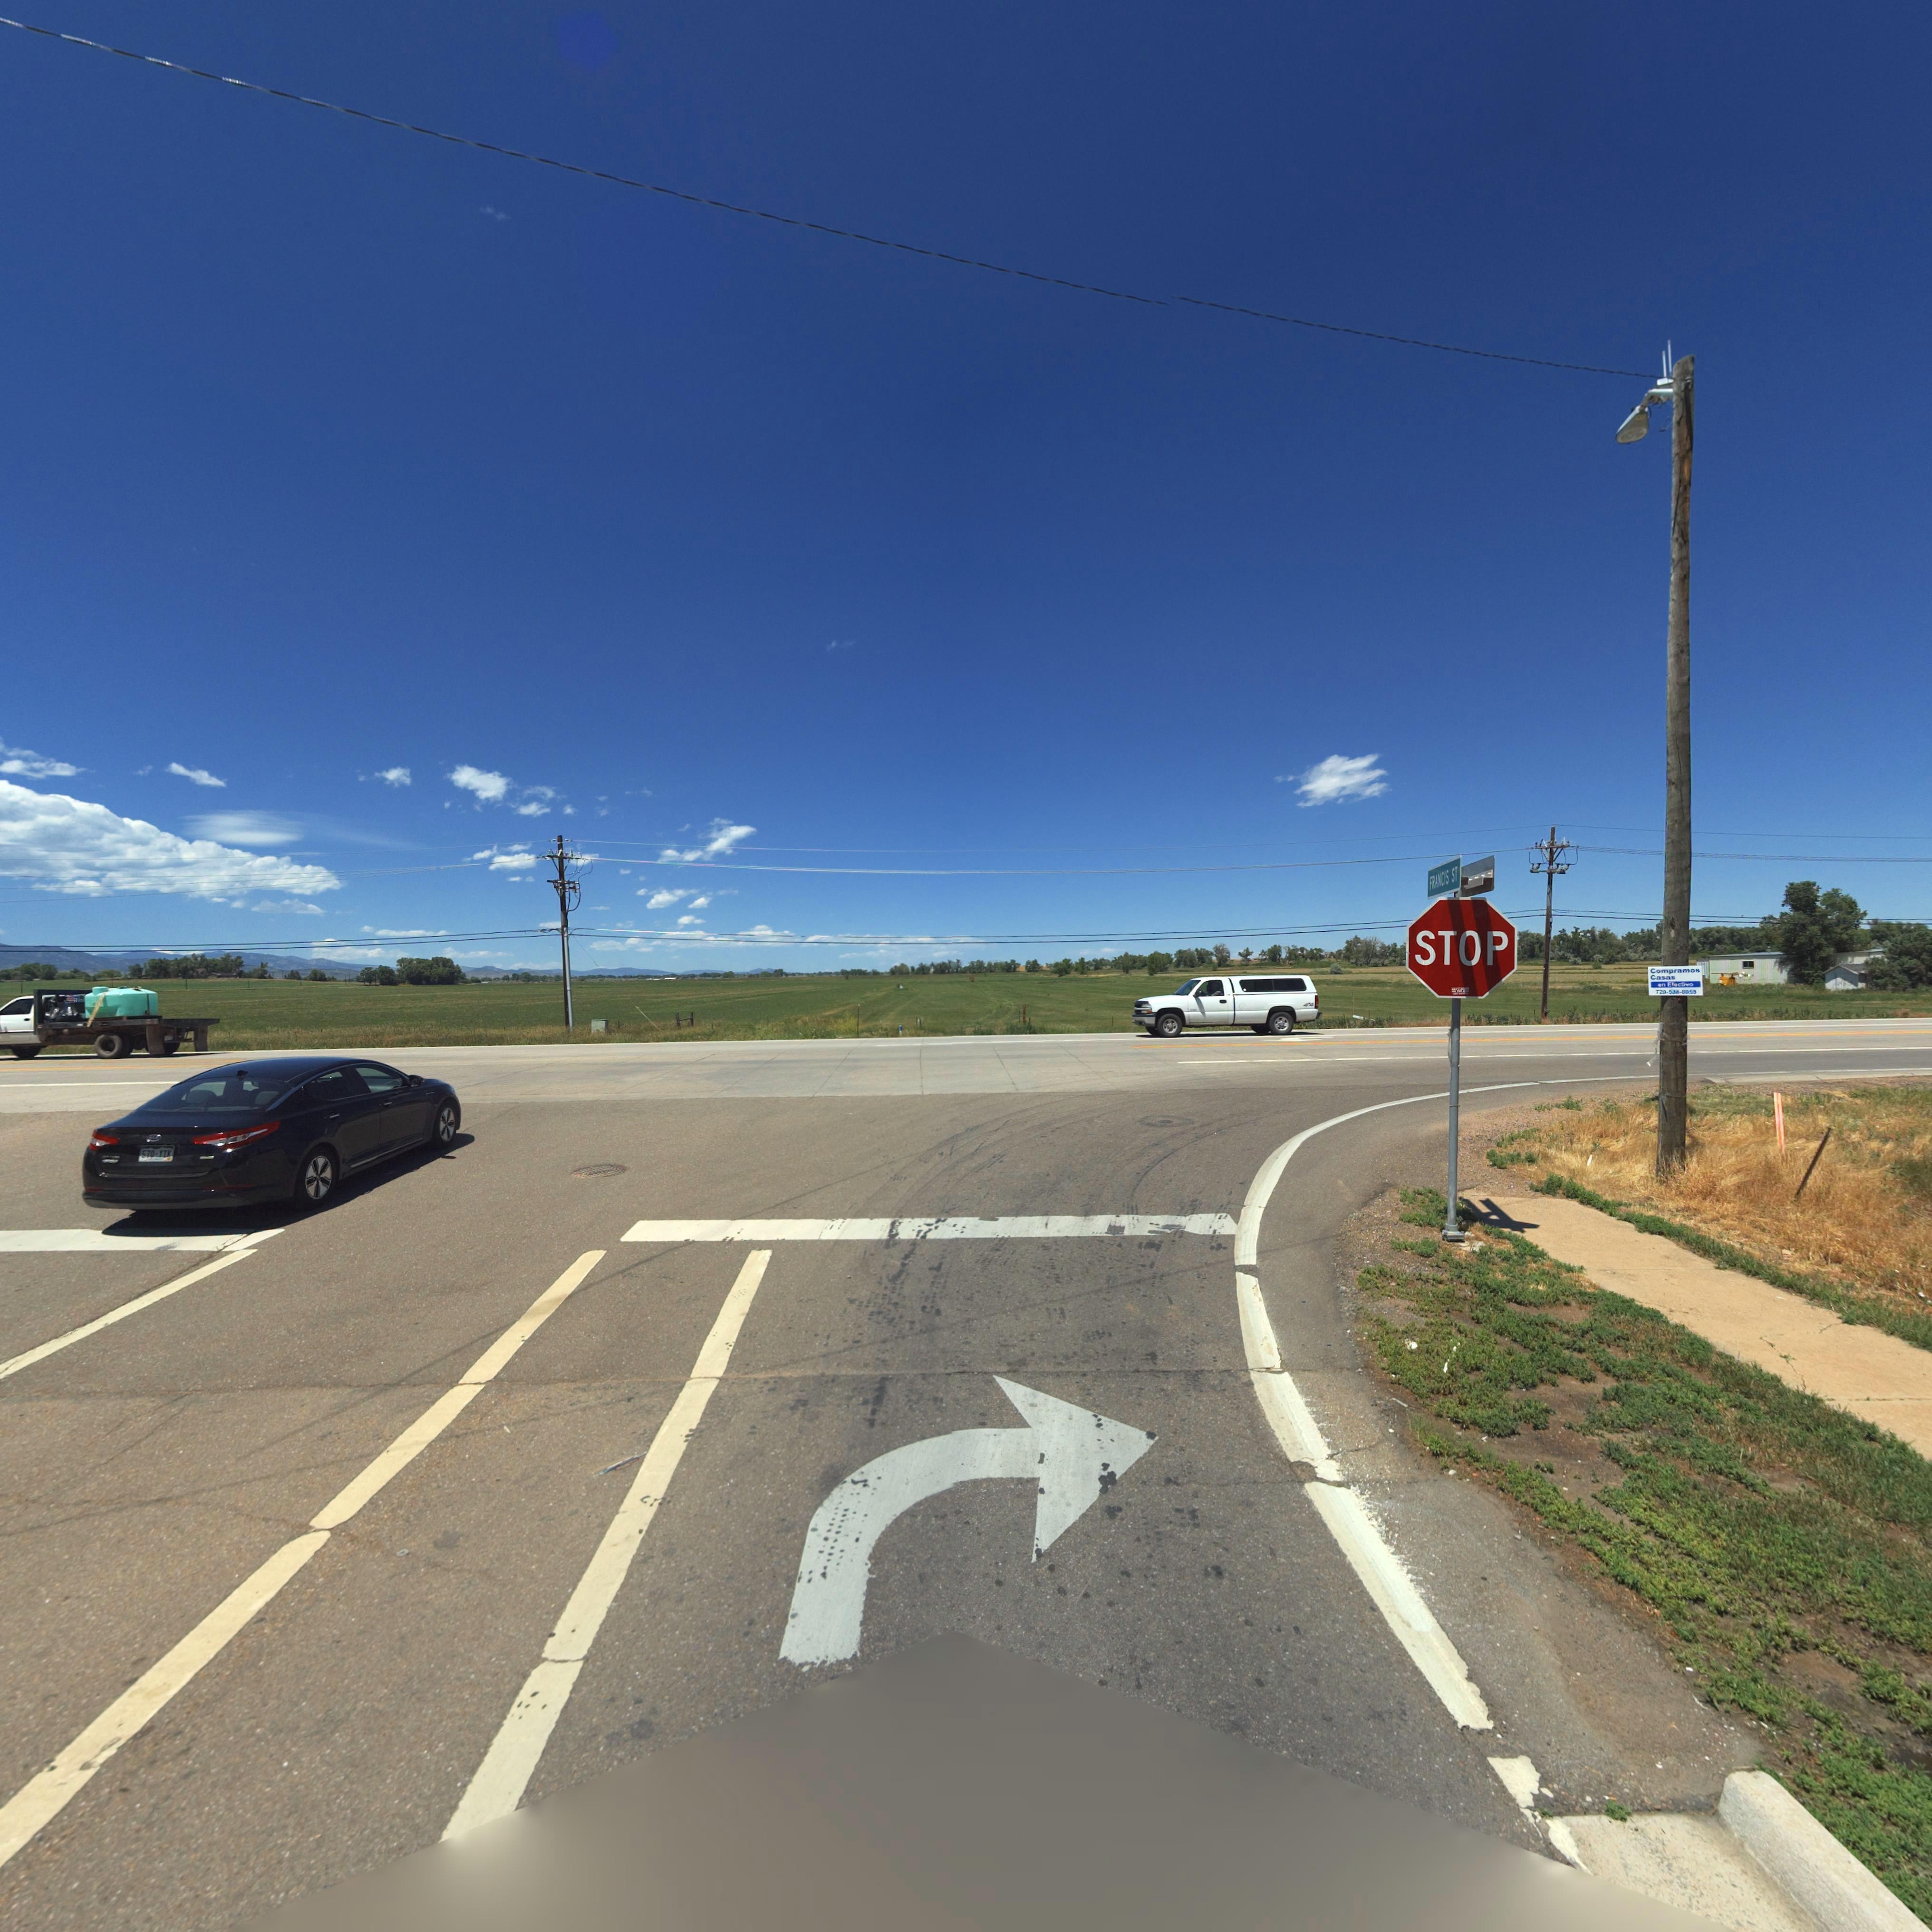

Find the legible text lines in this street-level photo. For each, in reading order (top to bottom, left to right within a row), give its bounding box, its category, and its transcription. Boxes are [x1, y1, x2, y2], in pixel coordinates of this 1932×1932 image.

[1429, 865, 1458, 890] StreetName: FRANCIS ST